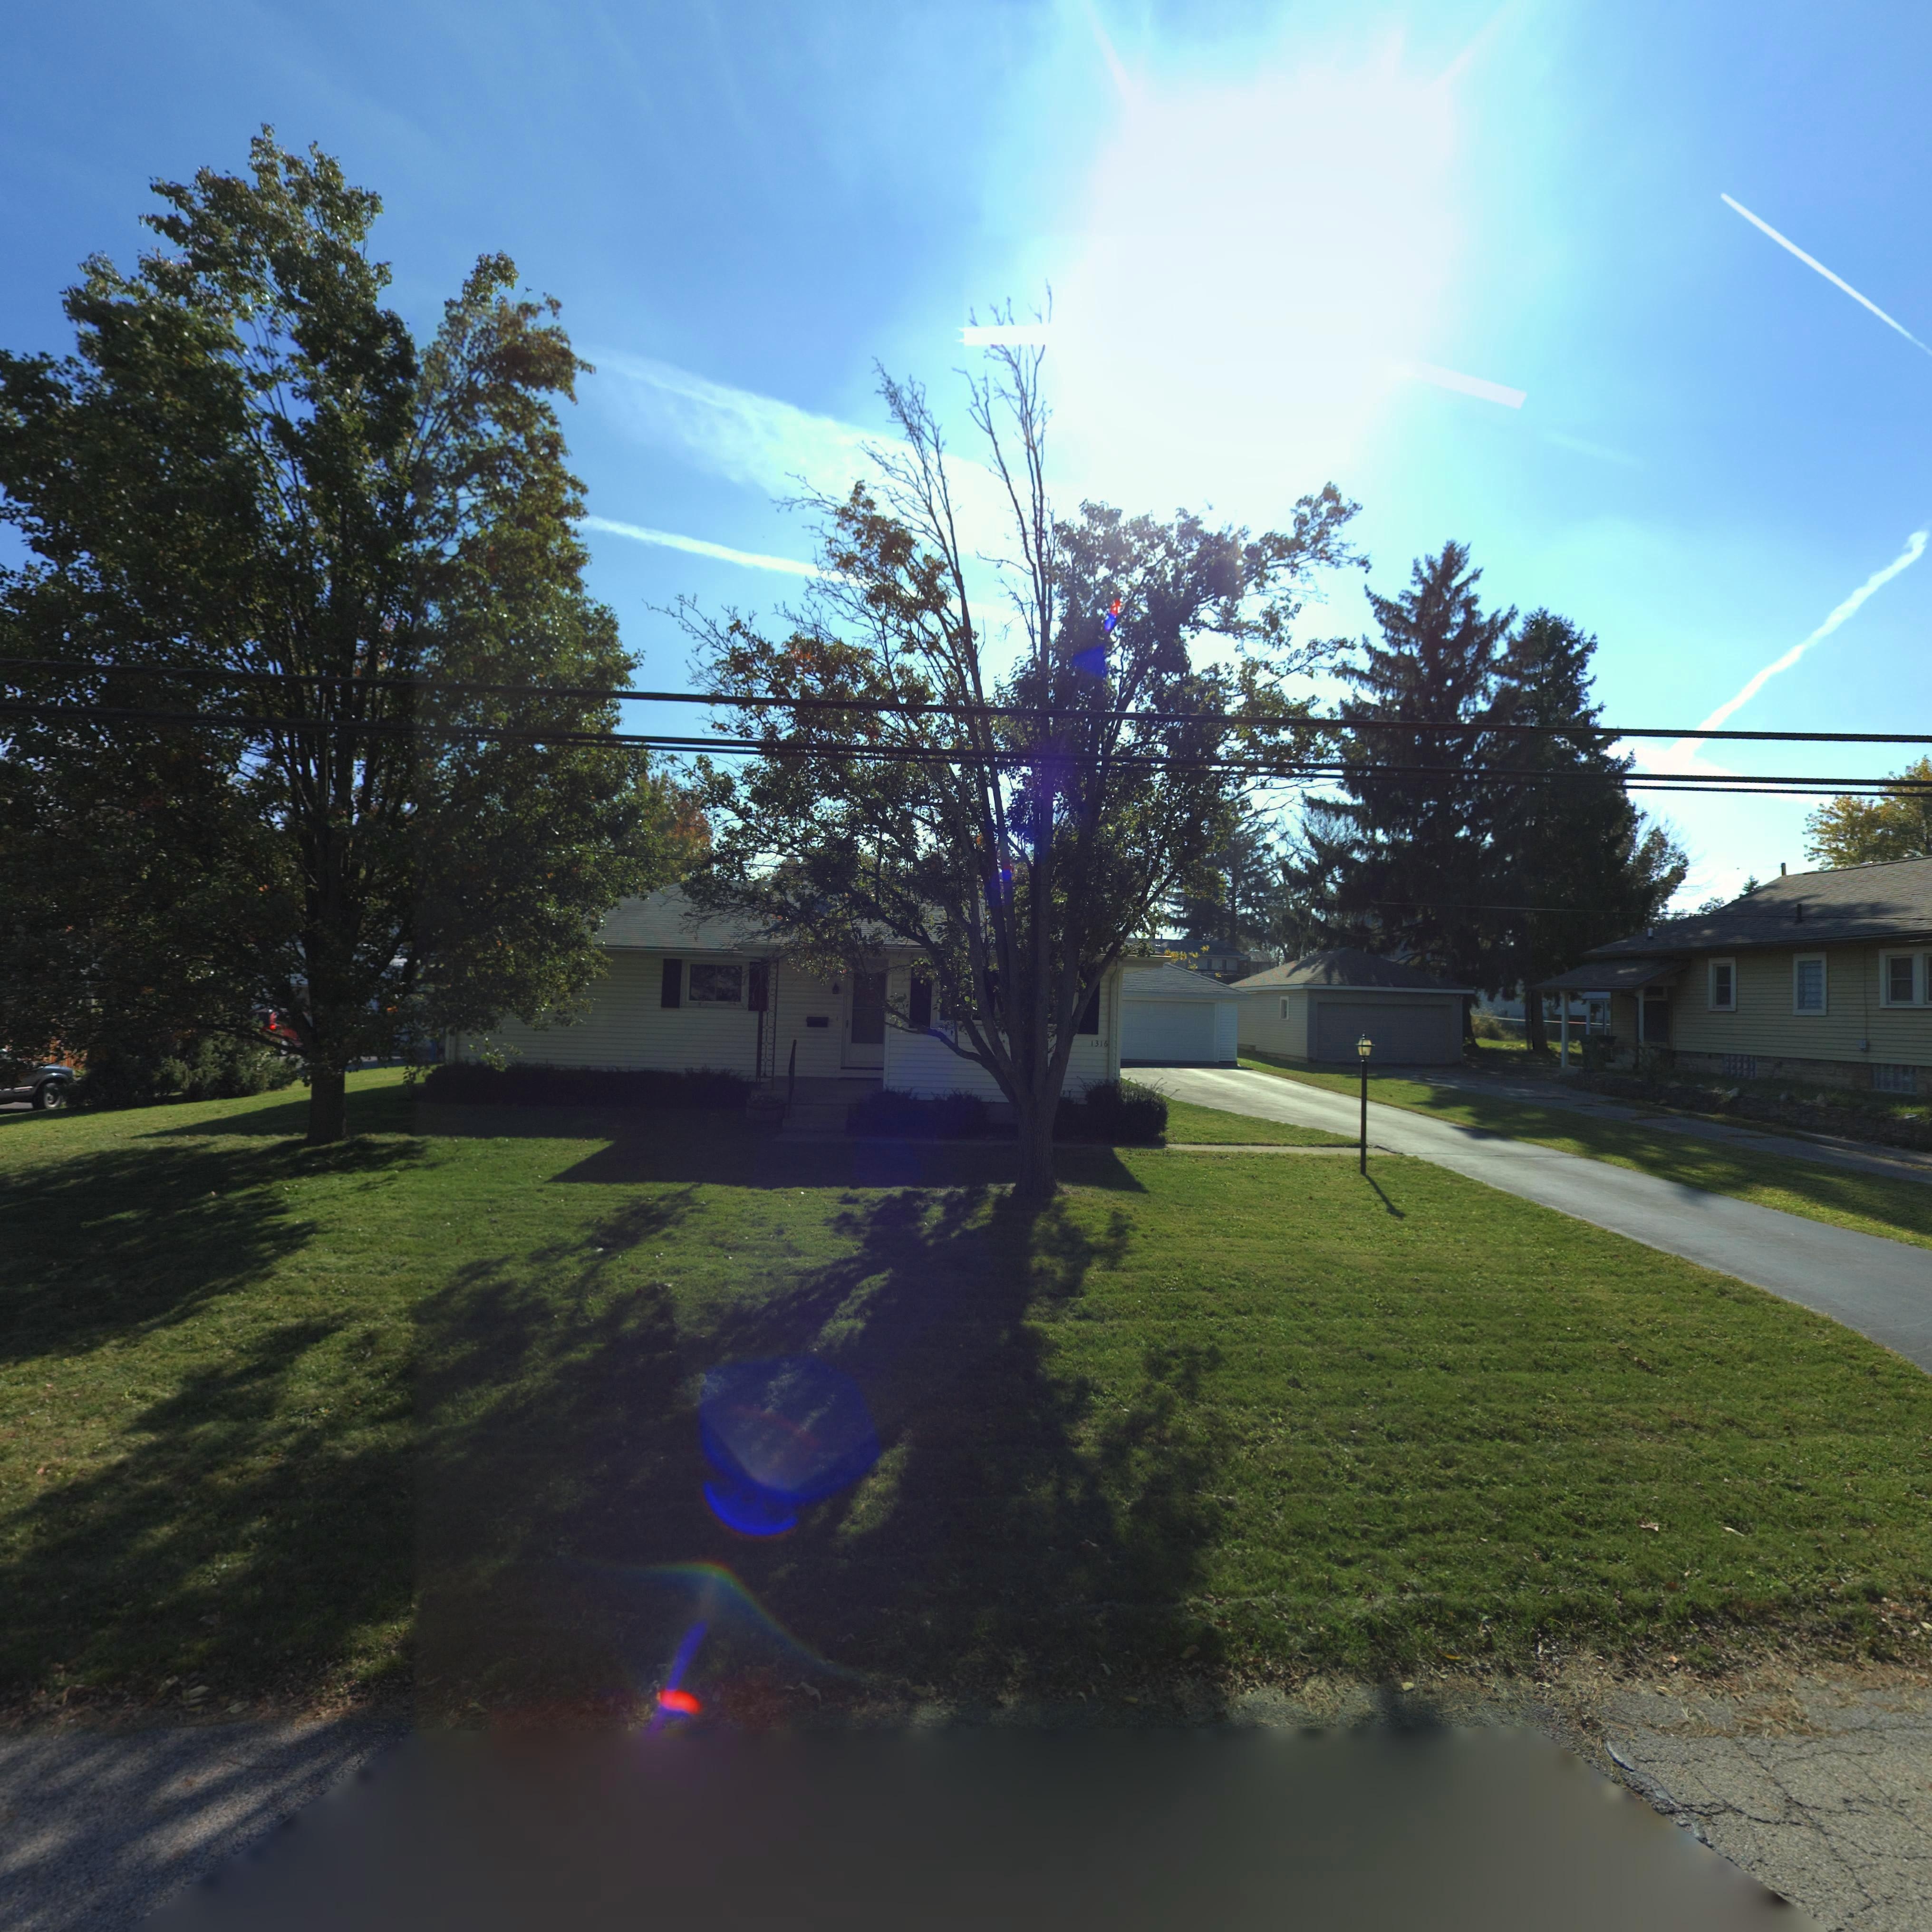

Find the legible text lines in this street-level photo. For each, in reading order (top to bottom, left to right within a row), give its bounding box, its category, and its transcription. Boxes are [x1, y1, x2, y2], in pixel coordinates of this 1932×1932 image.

[1090, 1040, 1109, 1047] StreetNumber: 1316